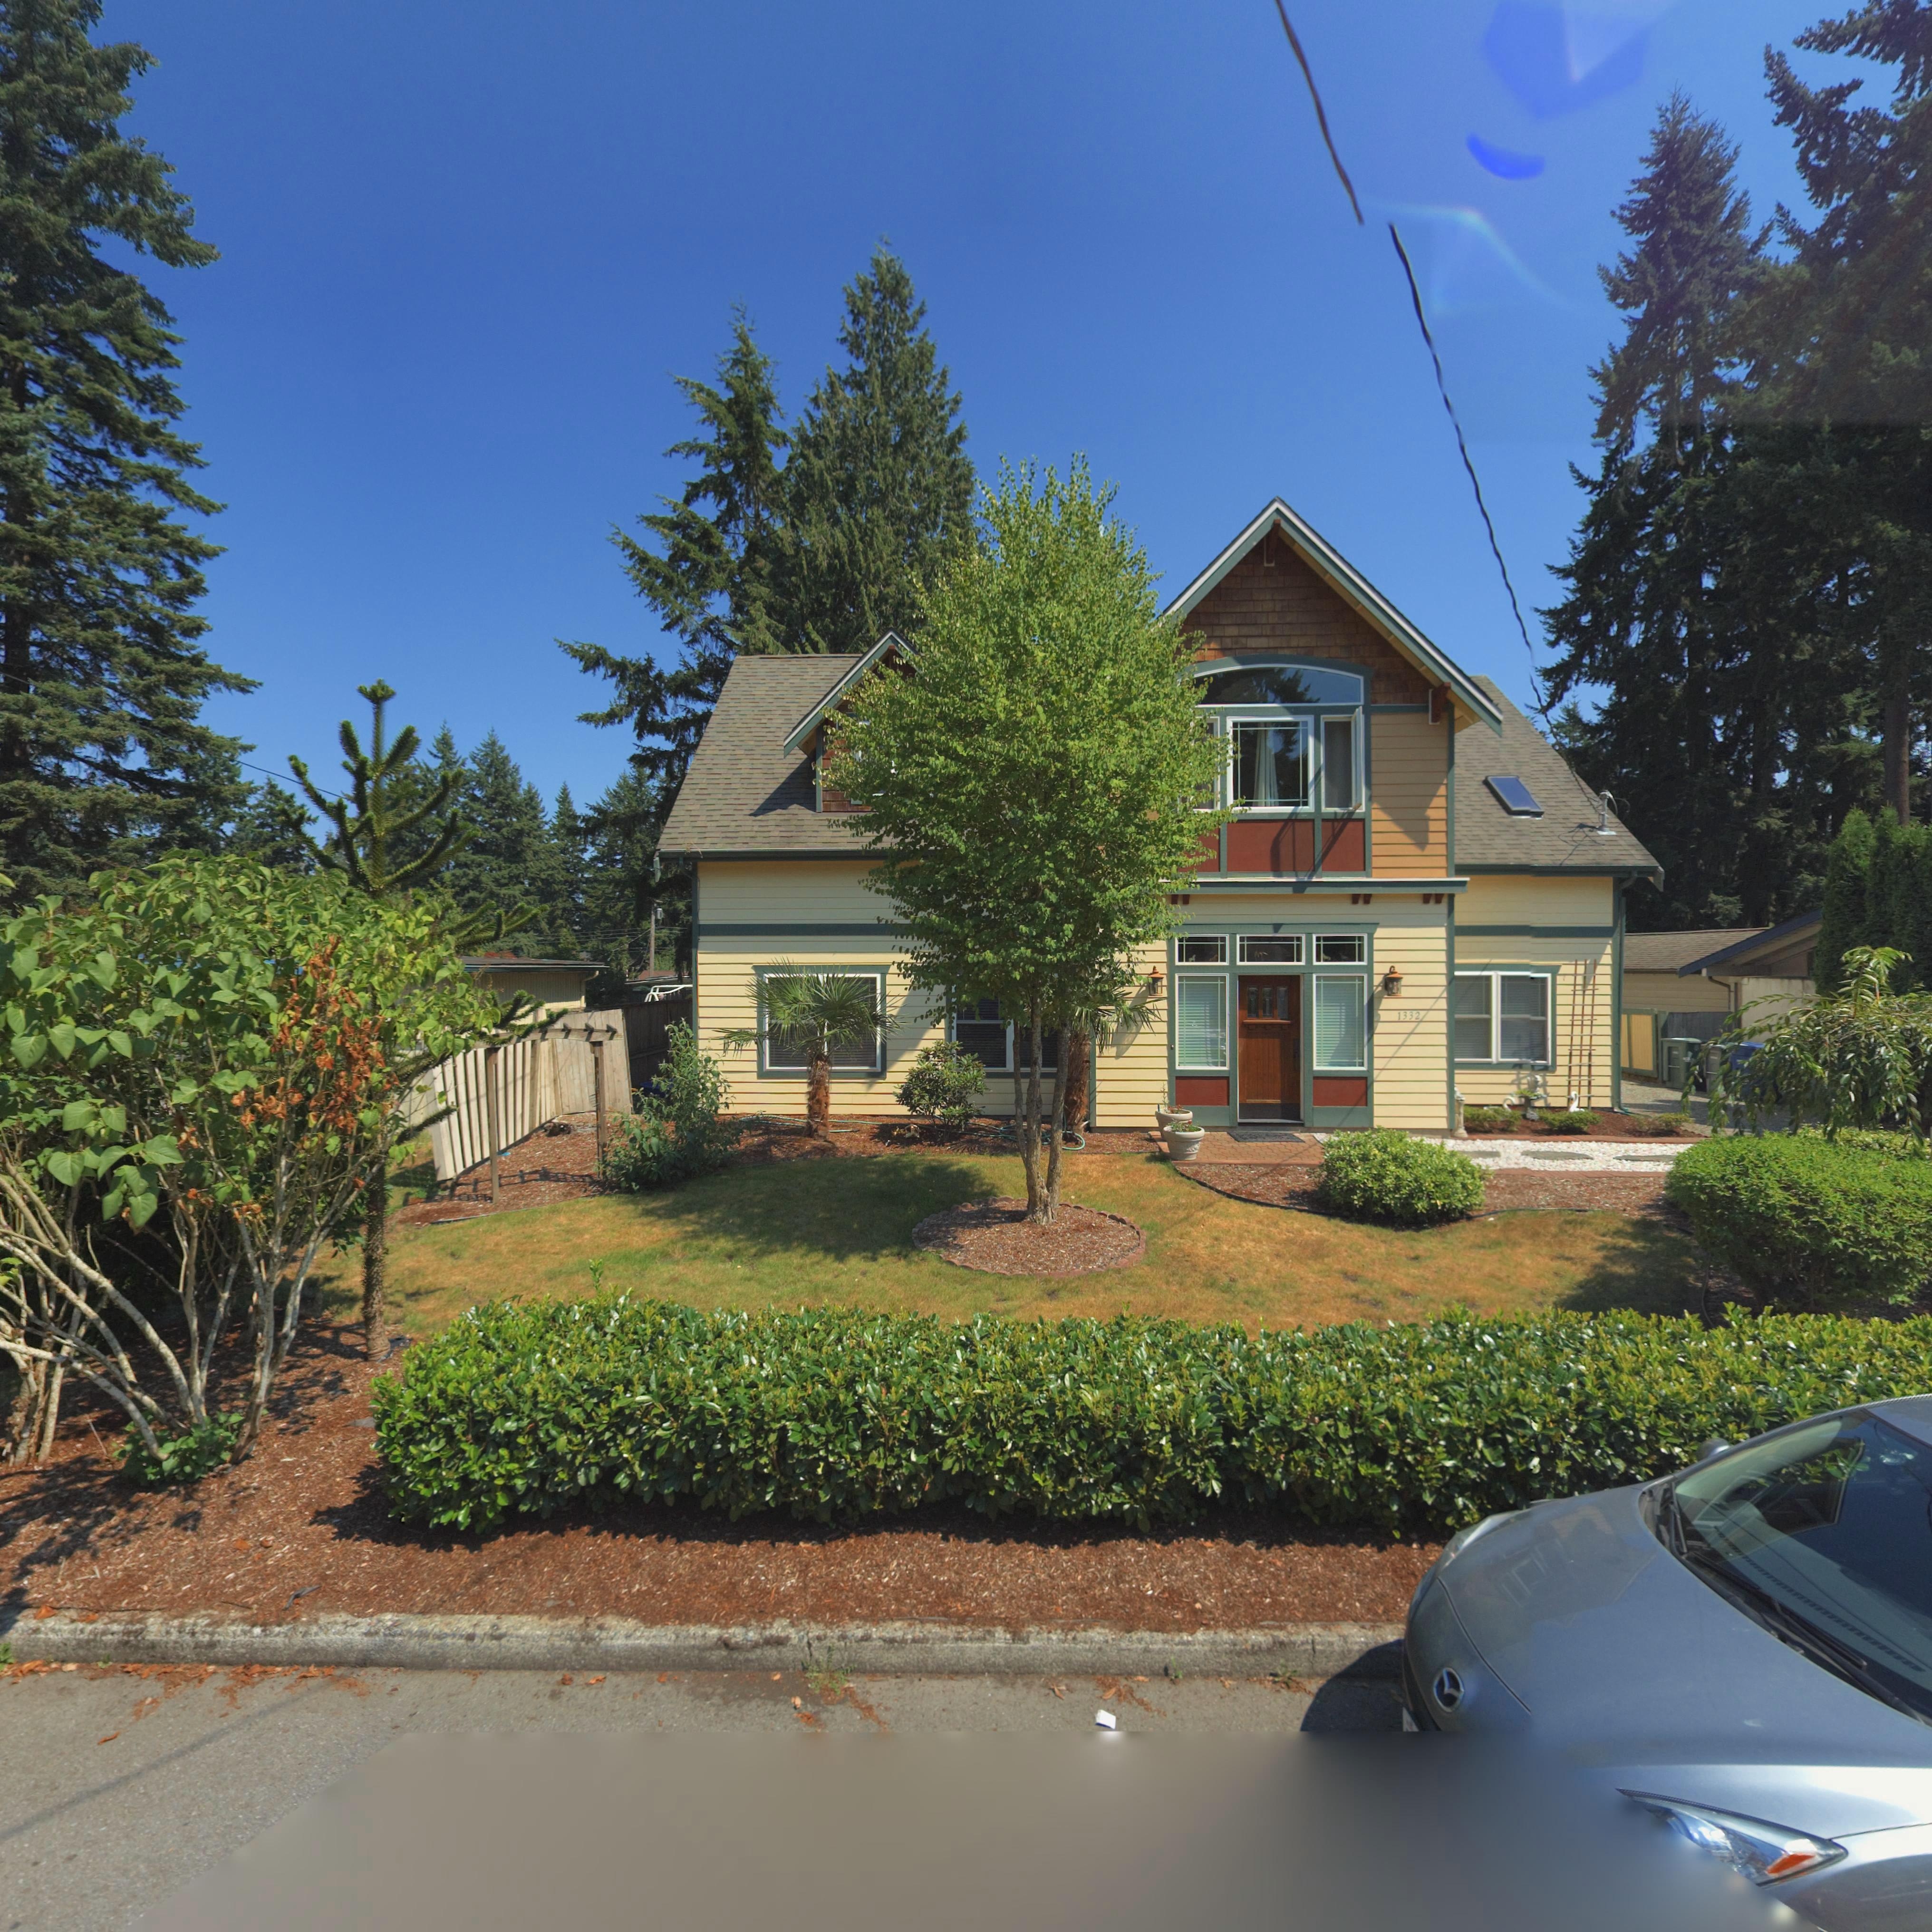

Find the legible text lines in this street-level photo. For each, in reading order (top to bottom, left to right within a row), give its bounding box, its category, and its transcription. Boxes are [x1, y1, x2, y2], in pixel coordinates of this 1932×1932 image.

[1397, 1010, 1420, 1021] StreetNumber: 1332